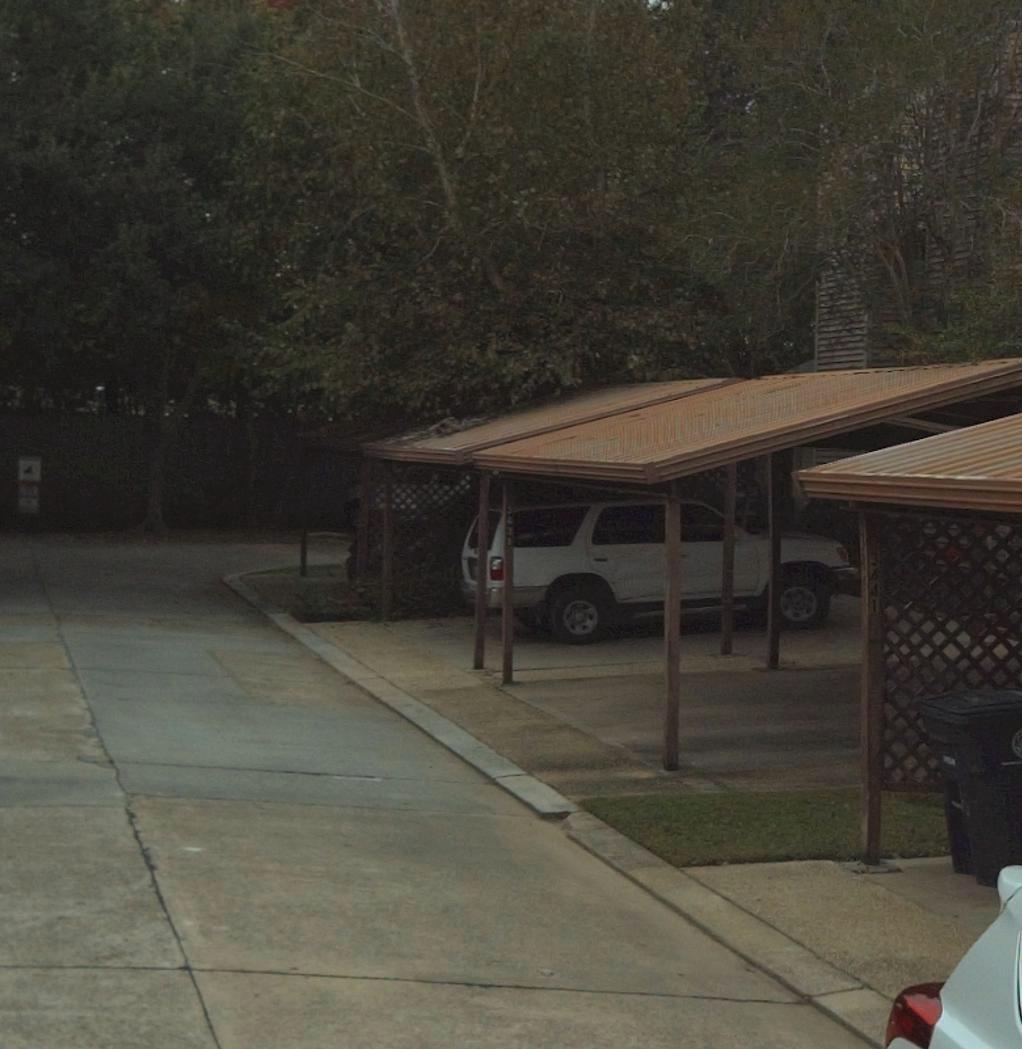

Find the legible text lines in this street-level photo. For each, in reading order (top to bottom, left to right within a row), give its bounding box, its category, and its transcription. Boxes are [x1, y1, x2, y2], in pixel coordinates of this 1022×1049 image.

[505, 504, 514, 547] StreetNumber: 3431